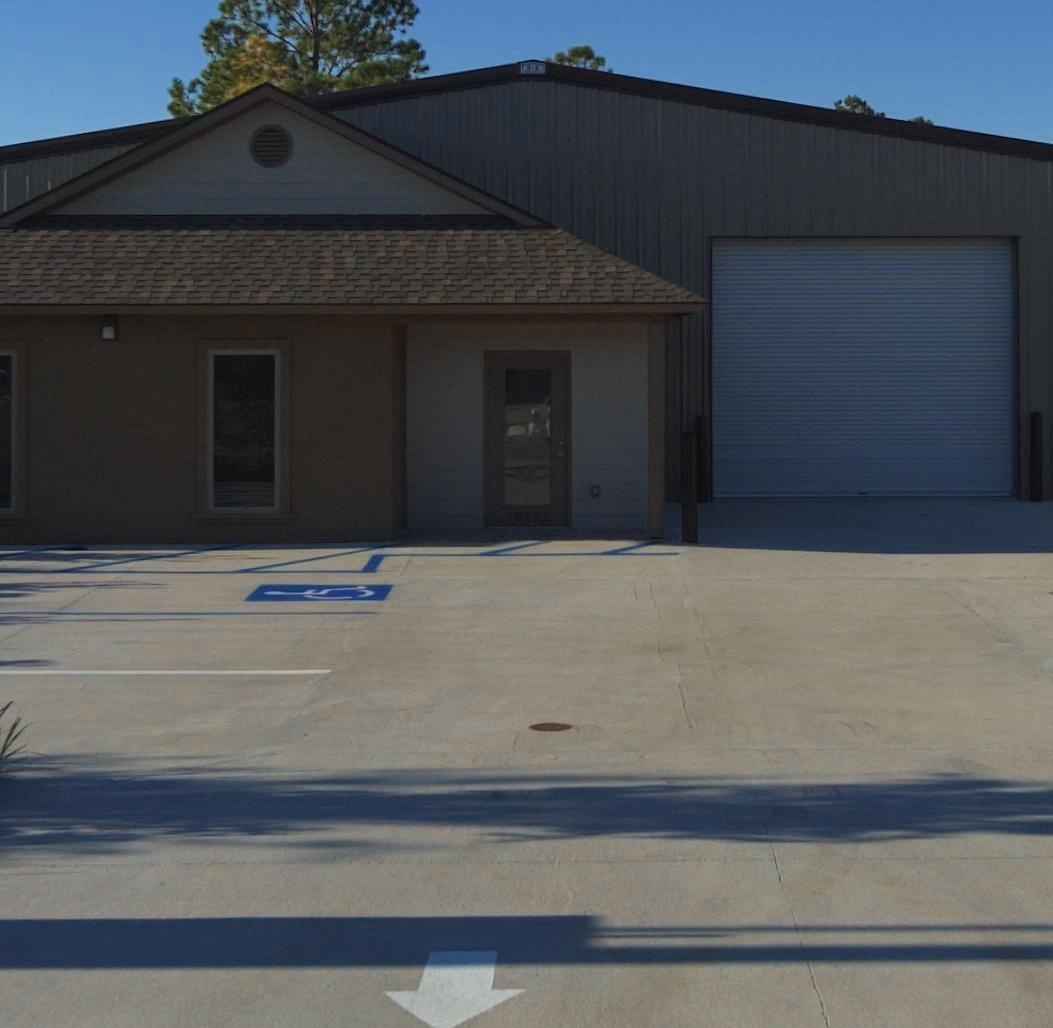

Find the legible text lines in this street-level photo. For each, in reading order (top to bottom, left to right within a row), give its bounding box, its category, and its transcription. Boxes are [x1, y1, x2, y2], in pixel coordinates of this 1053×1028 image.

[507, 510, 552, 524] StreetNumber: 10192